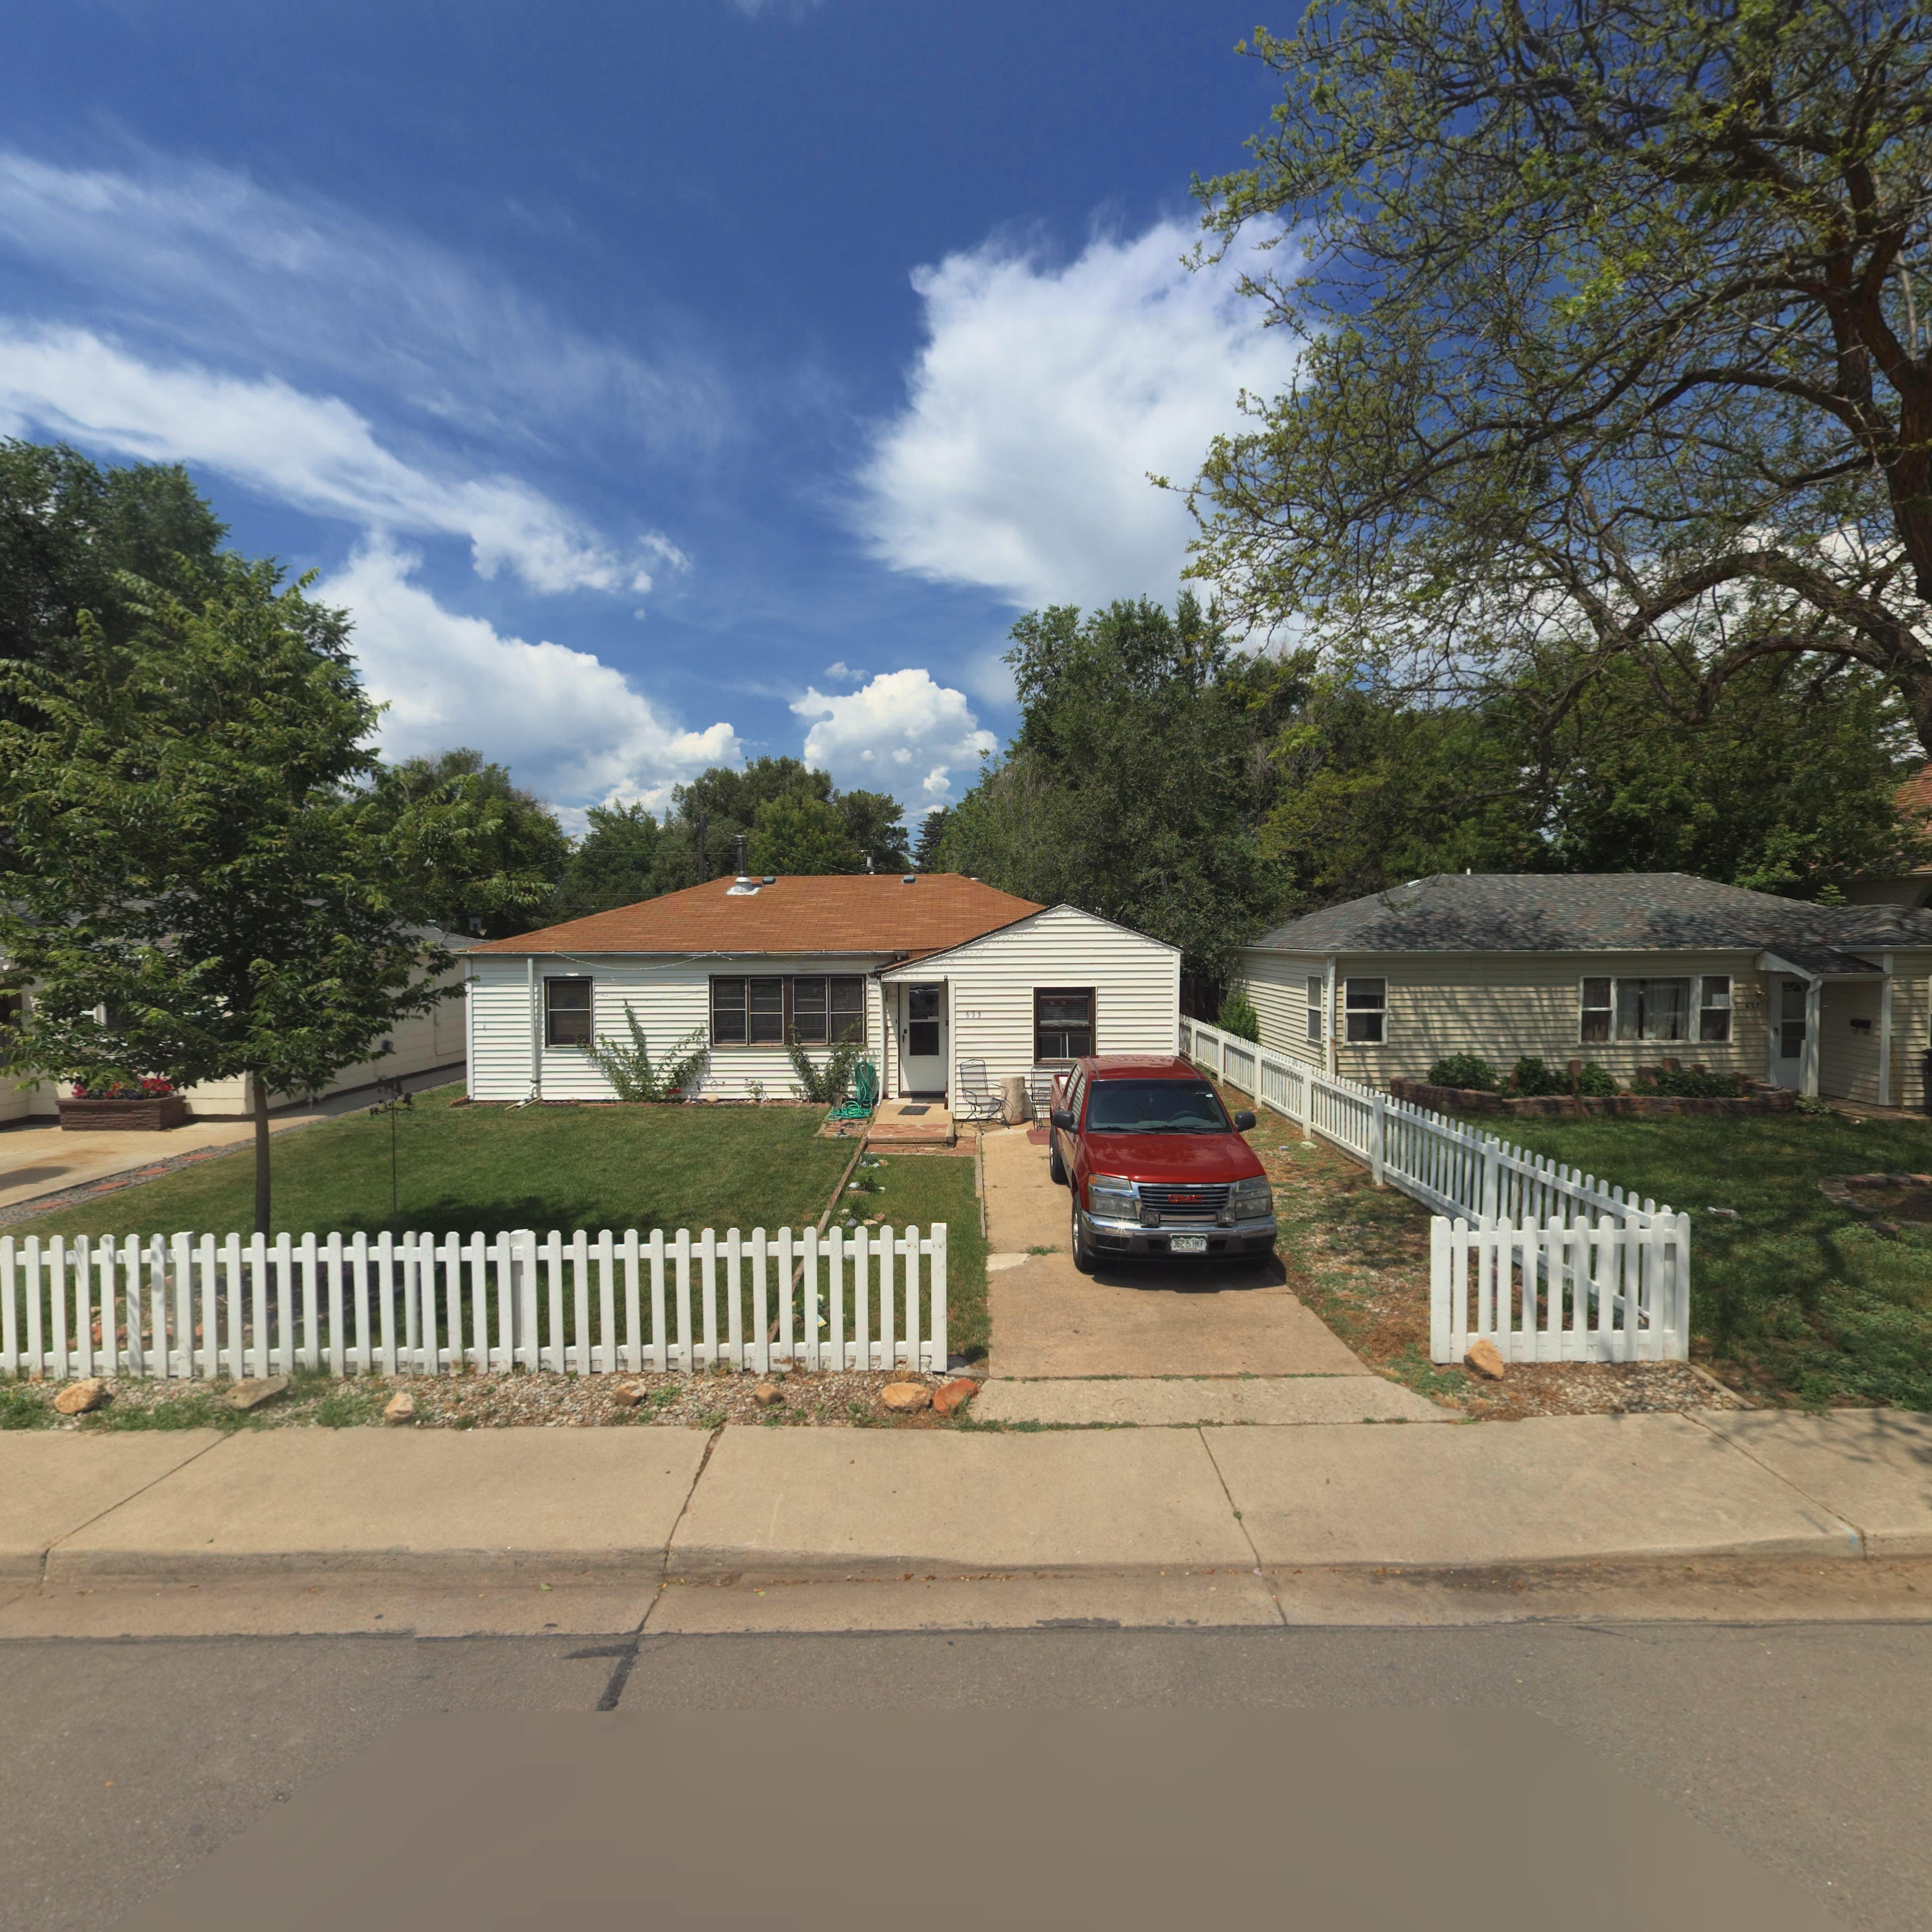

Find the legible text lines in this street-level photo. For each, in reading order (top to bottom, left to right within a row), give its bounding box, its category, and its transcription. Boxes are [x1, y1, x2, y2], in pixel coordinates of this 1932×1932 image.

[1745, 1002, 1760, 1009] StreetNumber: 637
[965, 1010, 981, 1018] StreetNumber: 633